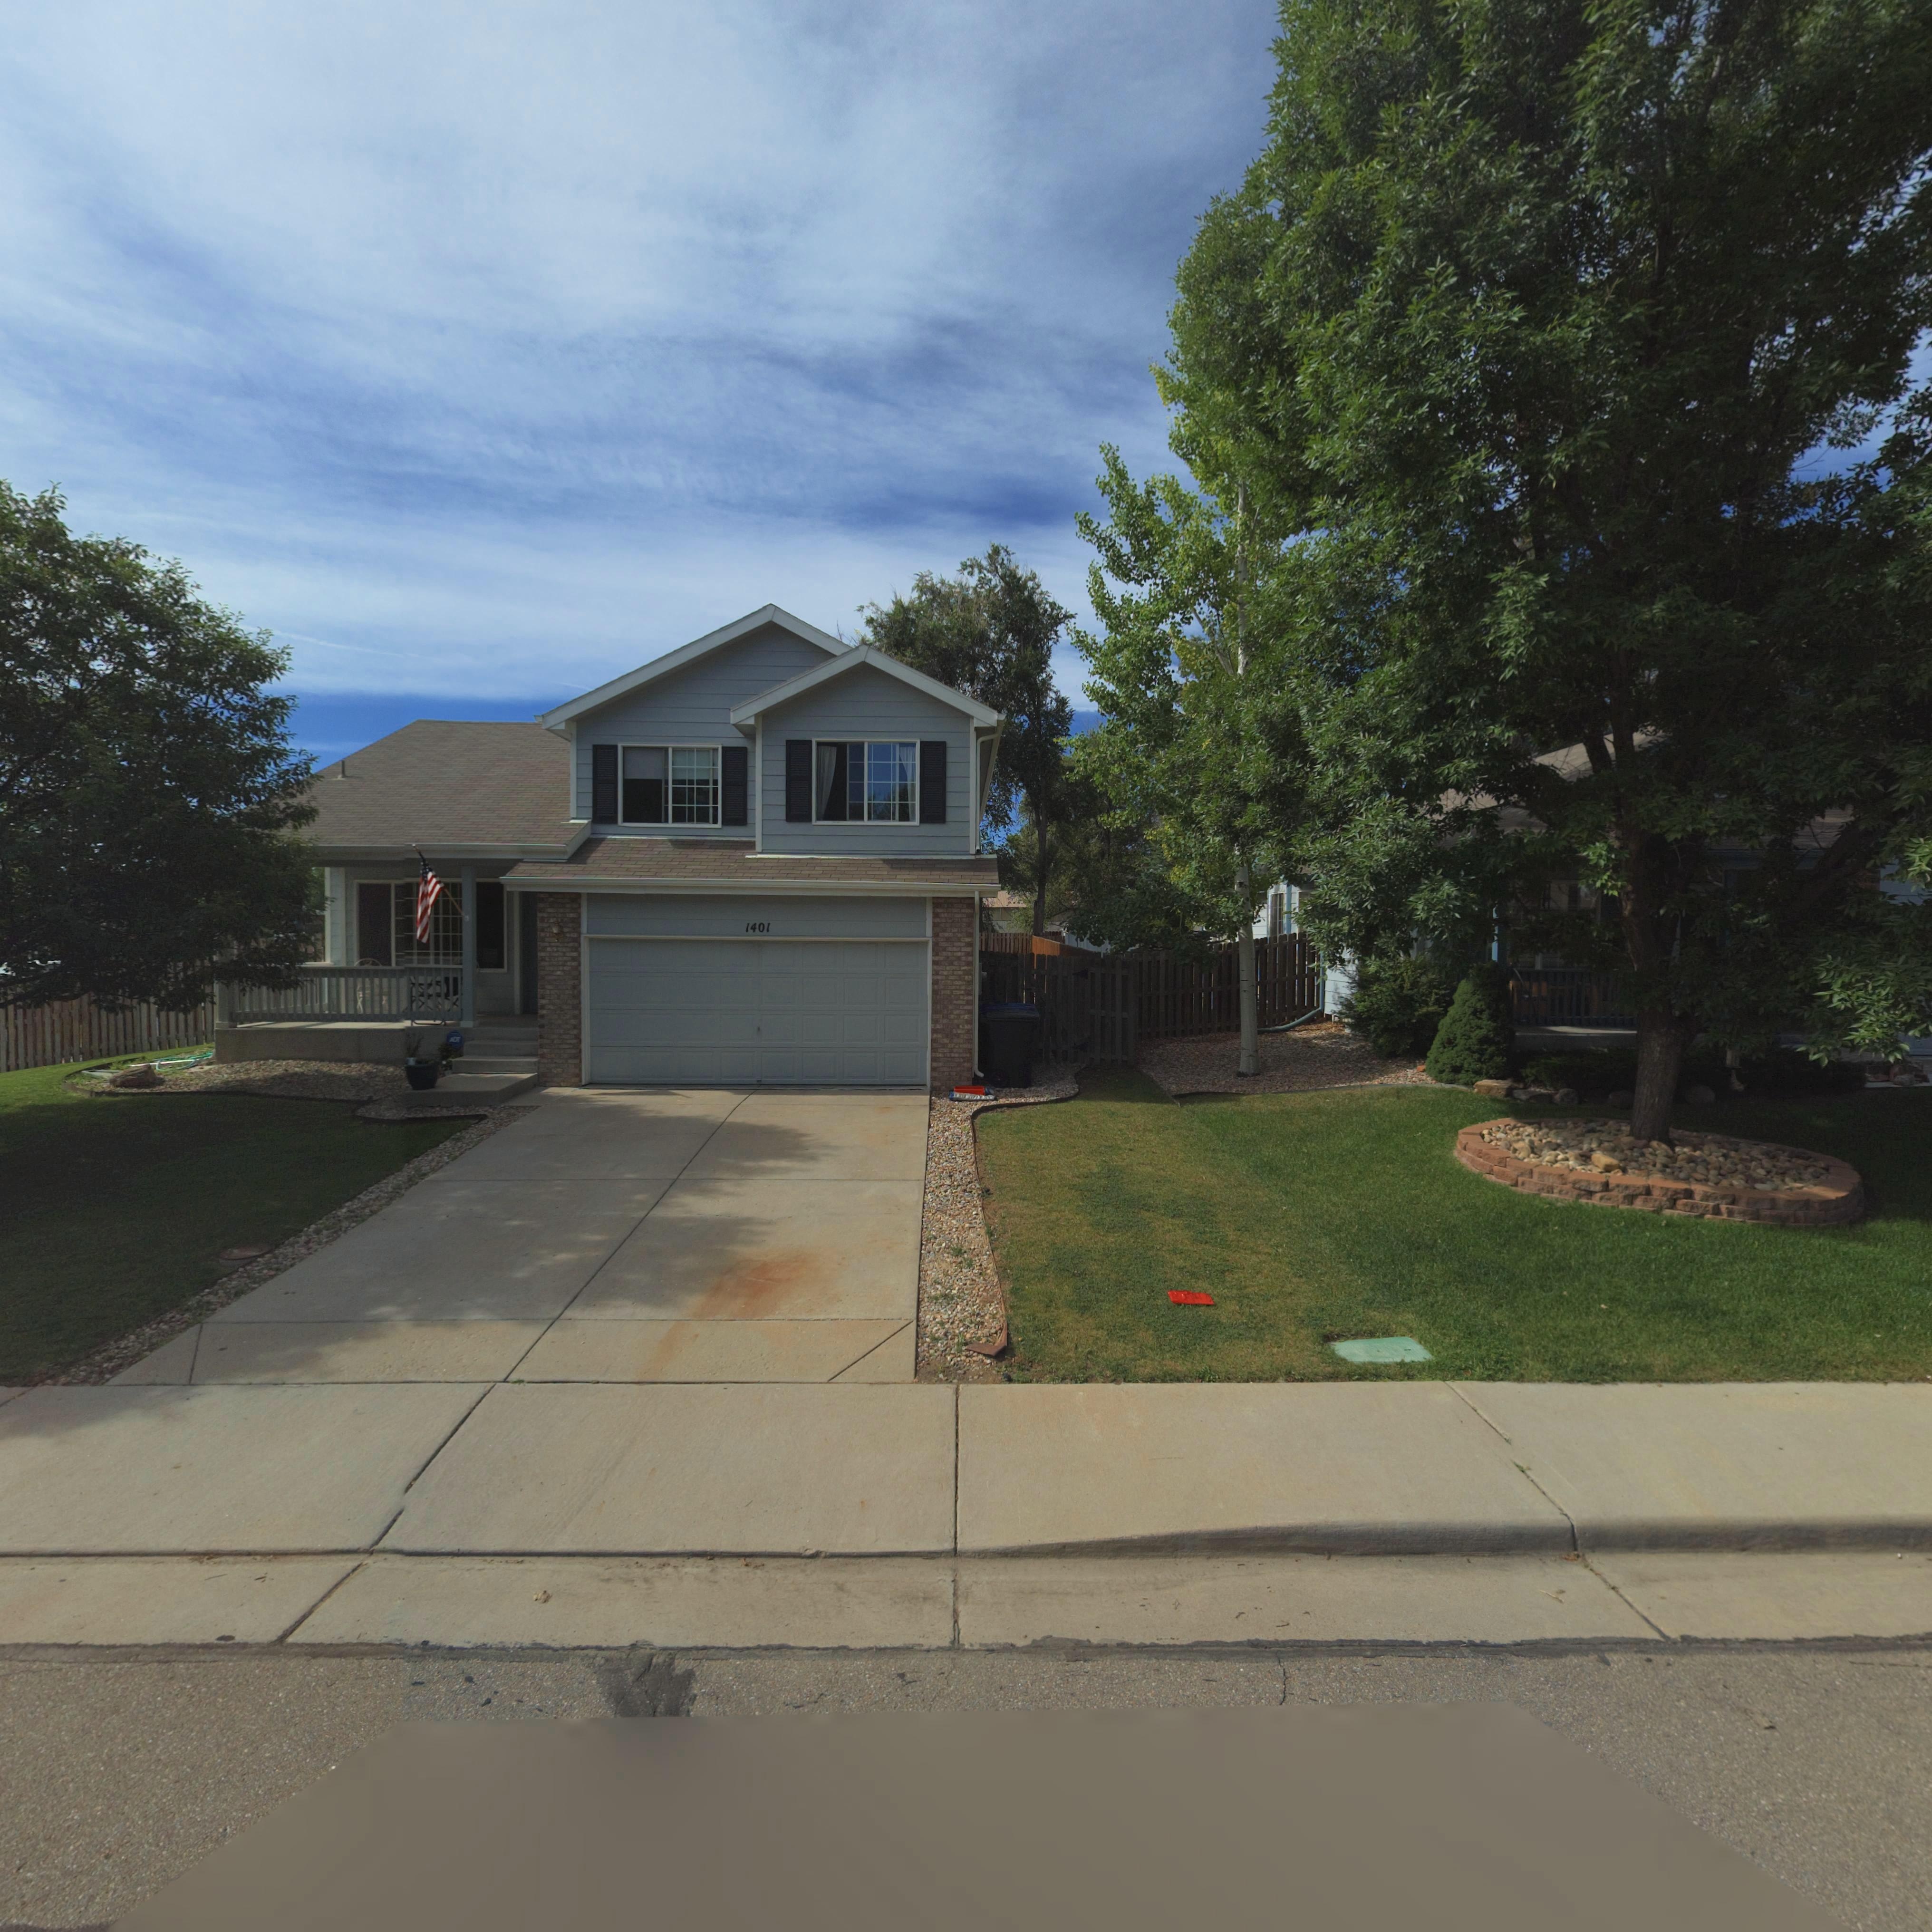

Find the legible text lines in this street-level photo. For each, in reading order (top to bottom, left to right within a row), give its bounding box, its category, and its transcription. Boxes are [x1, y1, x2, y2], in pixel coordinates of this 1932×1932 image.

[745, 921, 771, 933] StreetNumber: 1401